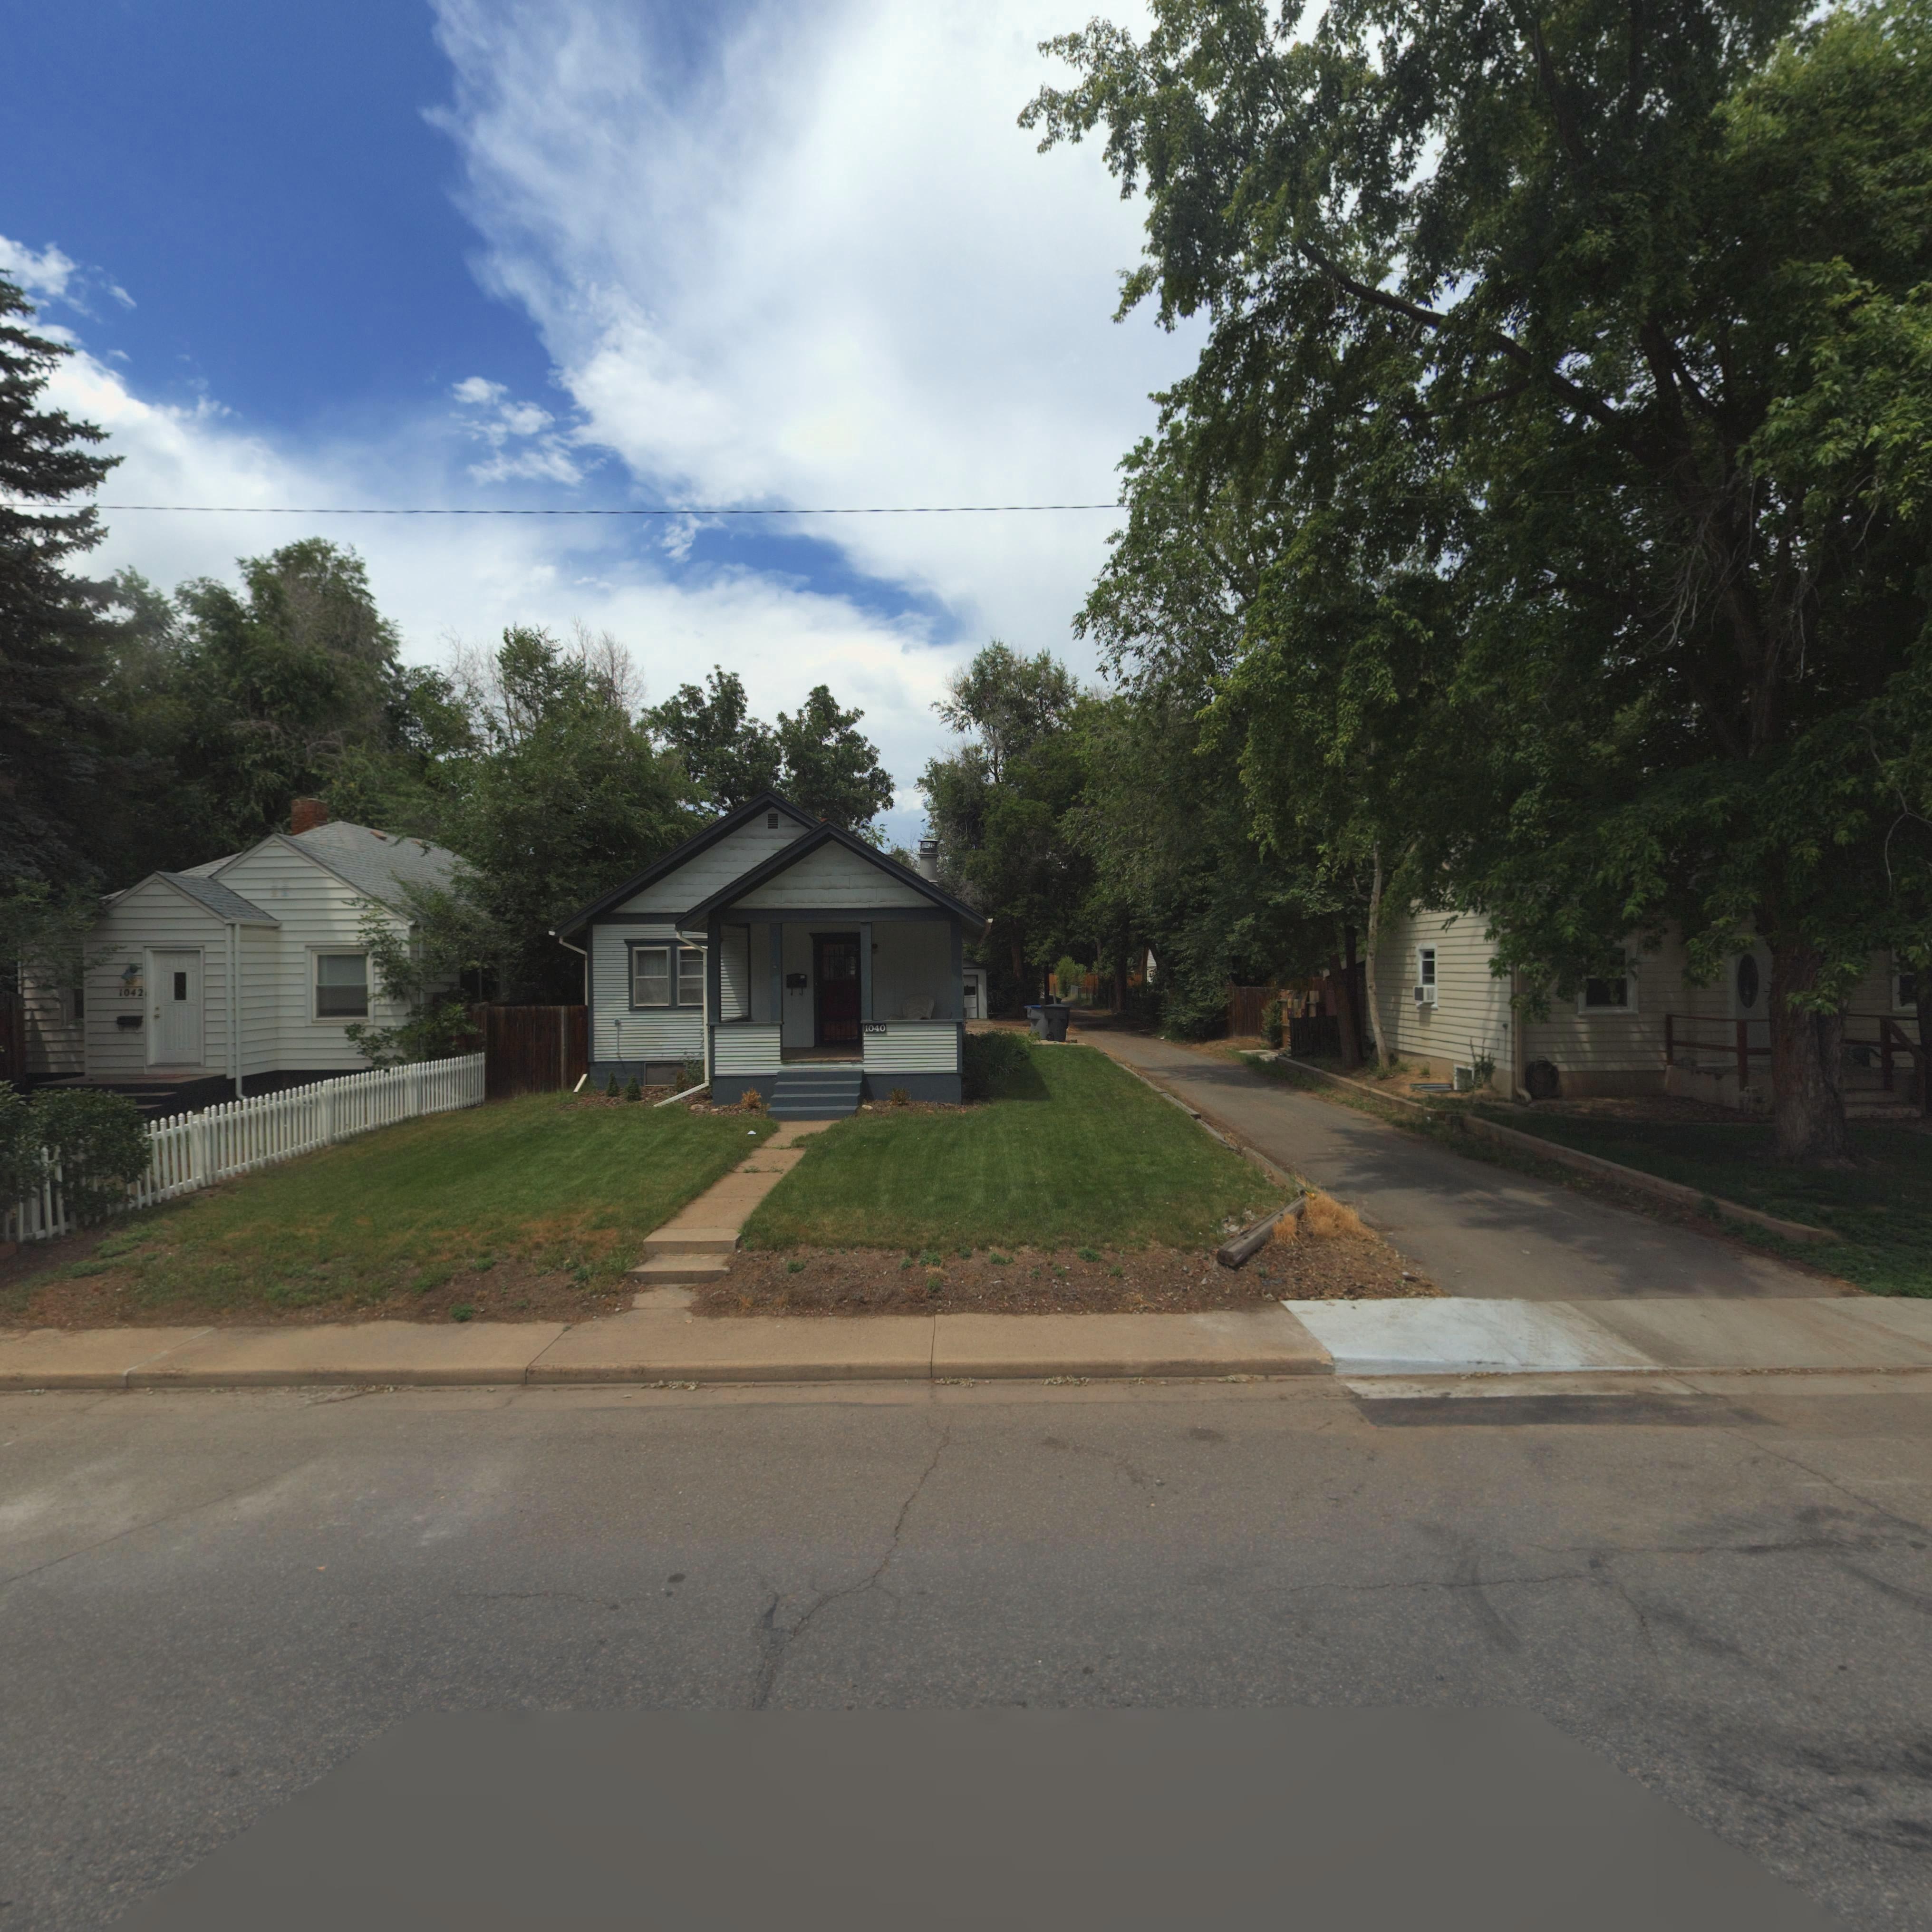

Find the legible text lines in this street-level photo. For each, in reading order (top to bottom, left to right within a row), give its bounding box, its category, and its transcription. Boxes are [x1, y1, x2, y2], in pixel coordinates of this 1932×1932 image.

[118, 987, 144, 996] StreetNumber: 1042
[864, 1024, 886, 1032] StreetNumber: 1040